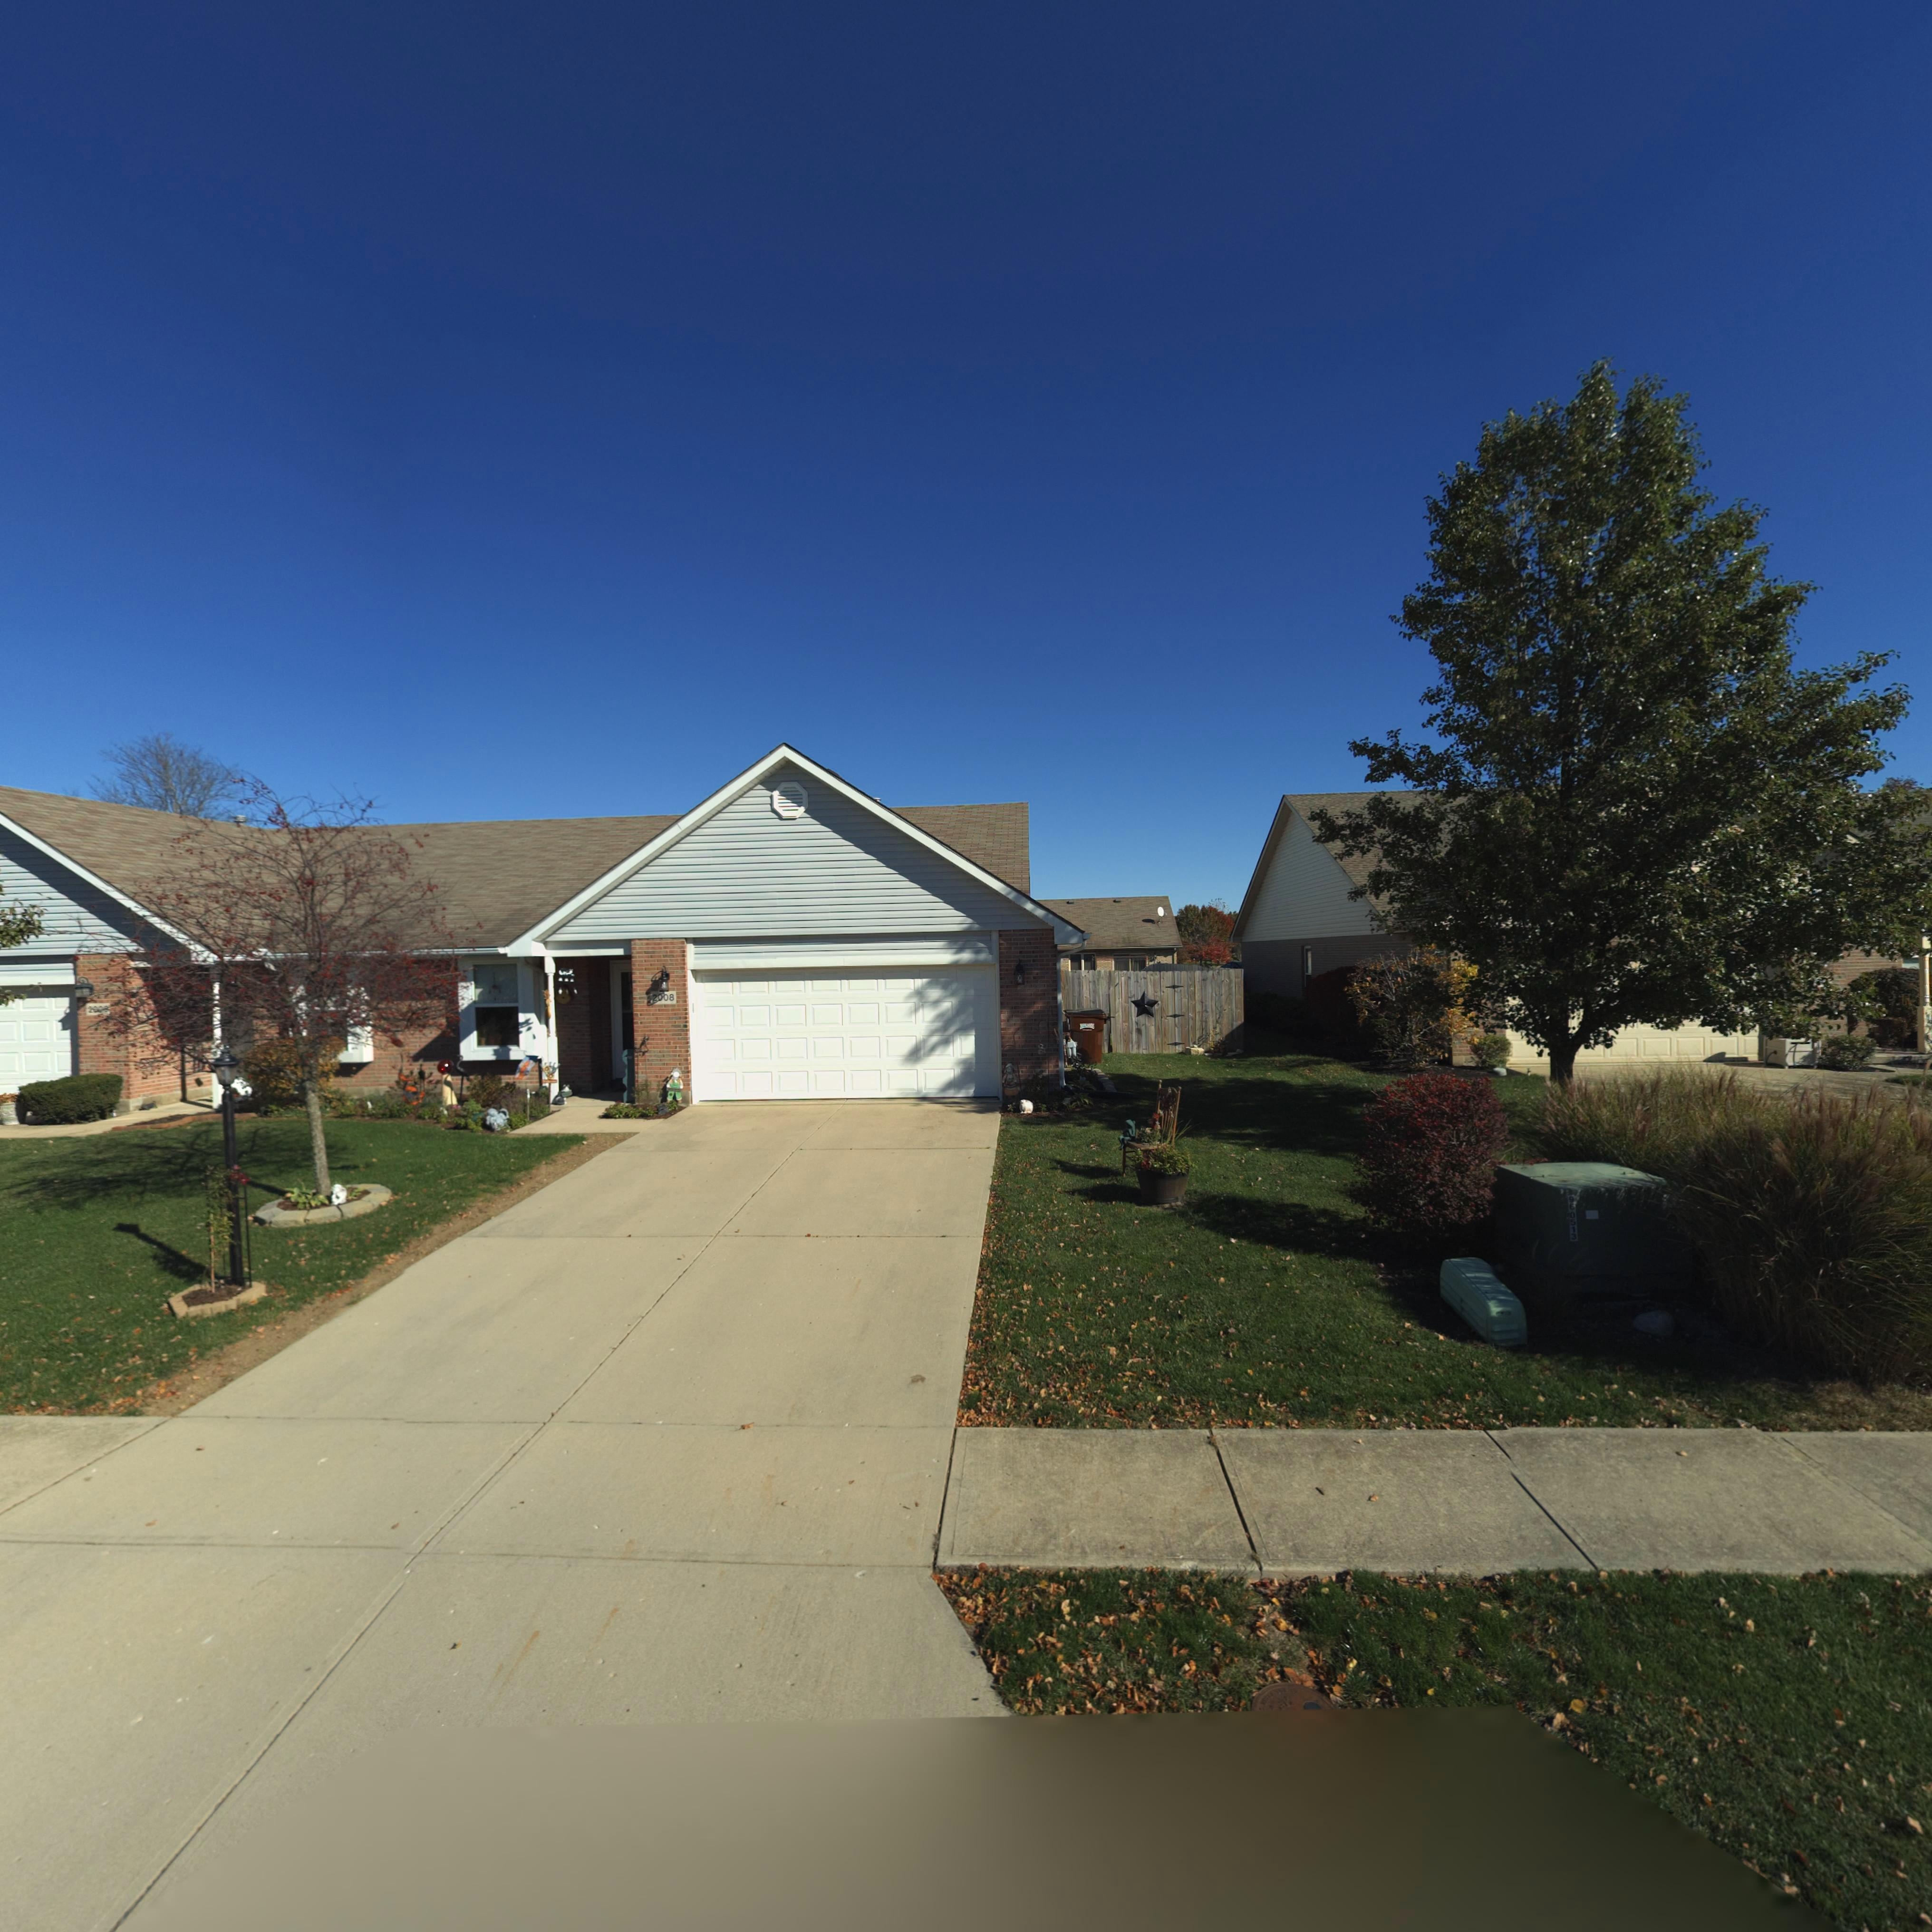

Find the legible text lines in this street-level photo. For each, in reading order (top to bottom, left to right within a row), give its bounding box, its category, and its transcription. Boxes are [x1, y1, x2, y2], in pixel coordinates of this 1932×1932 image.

[651, 993, 675, 1002] StreetNumber: 2008